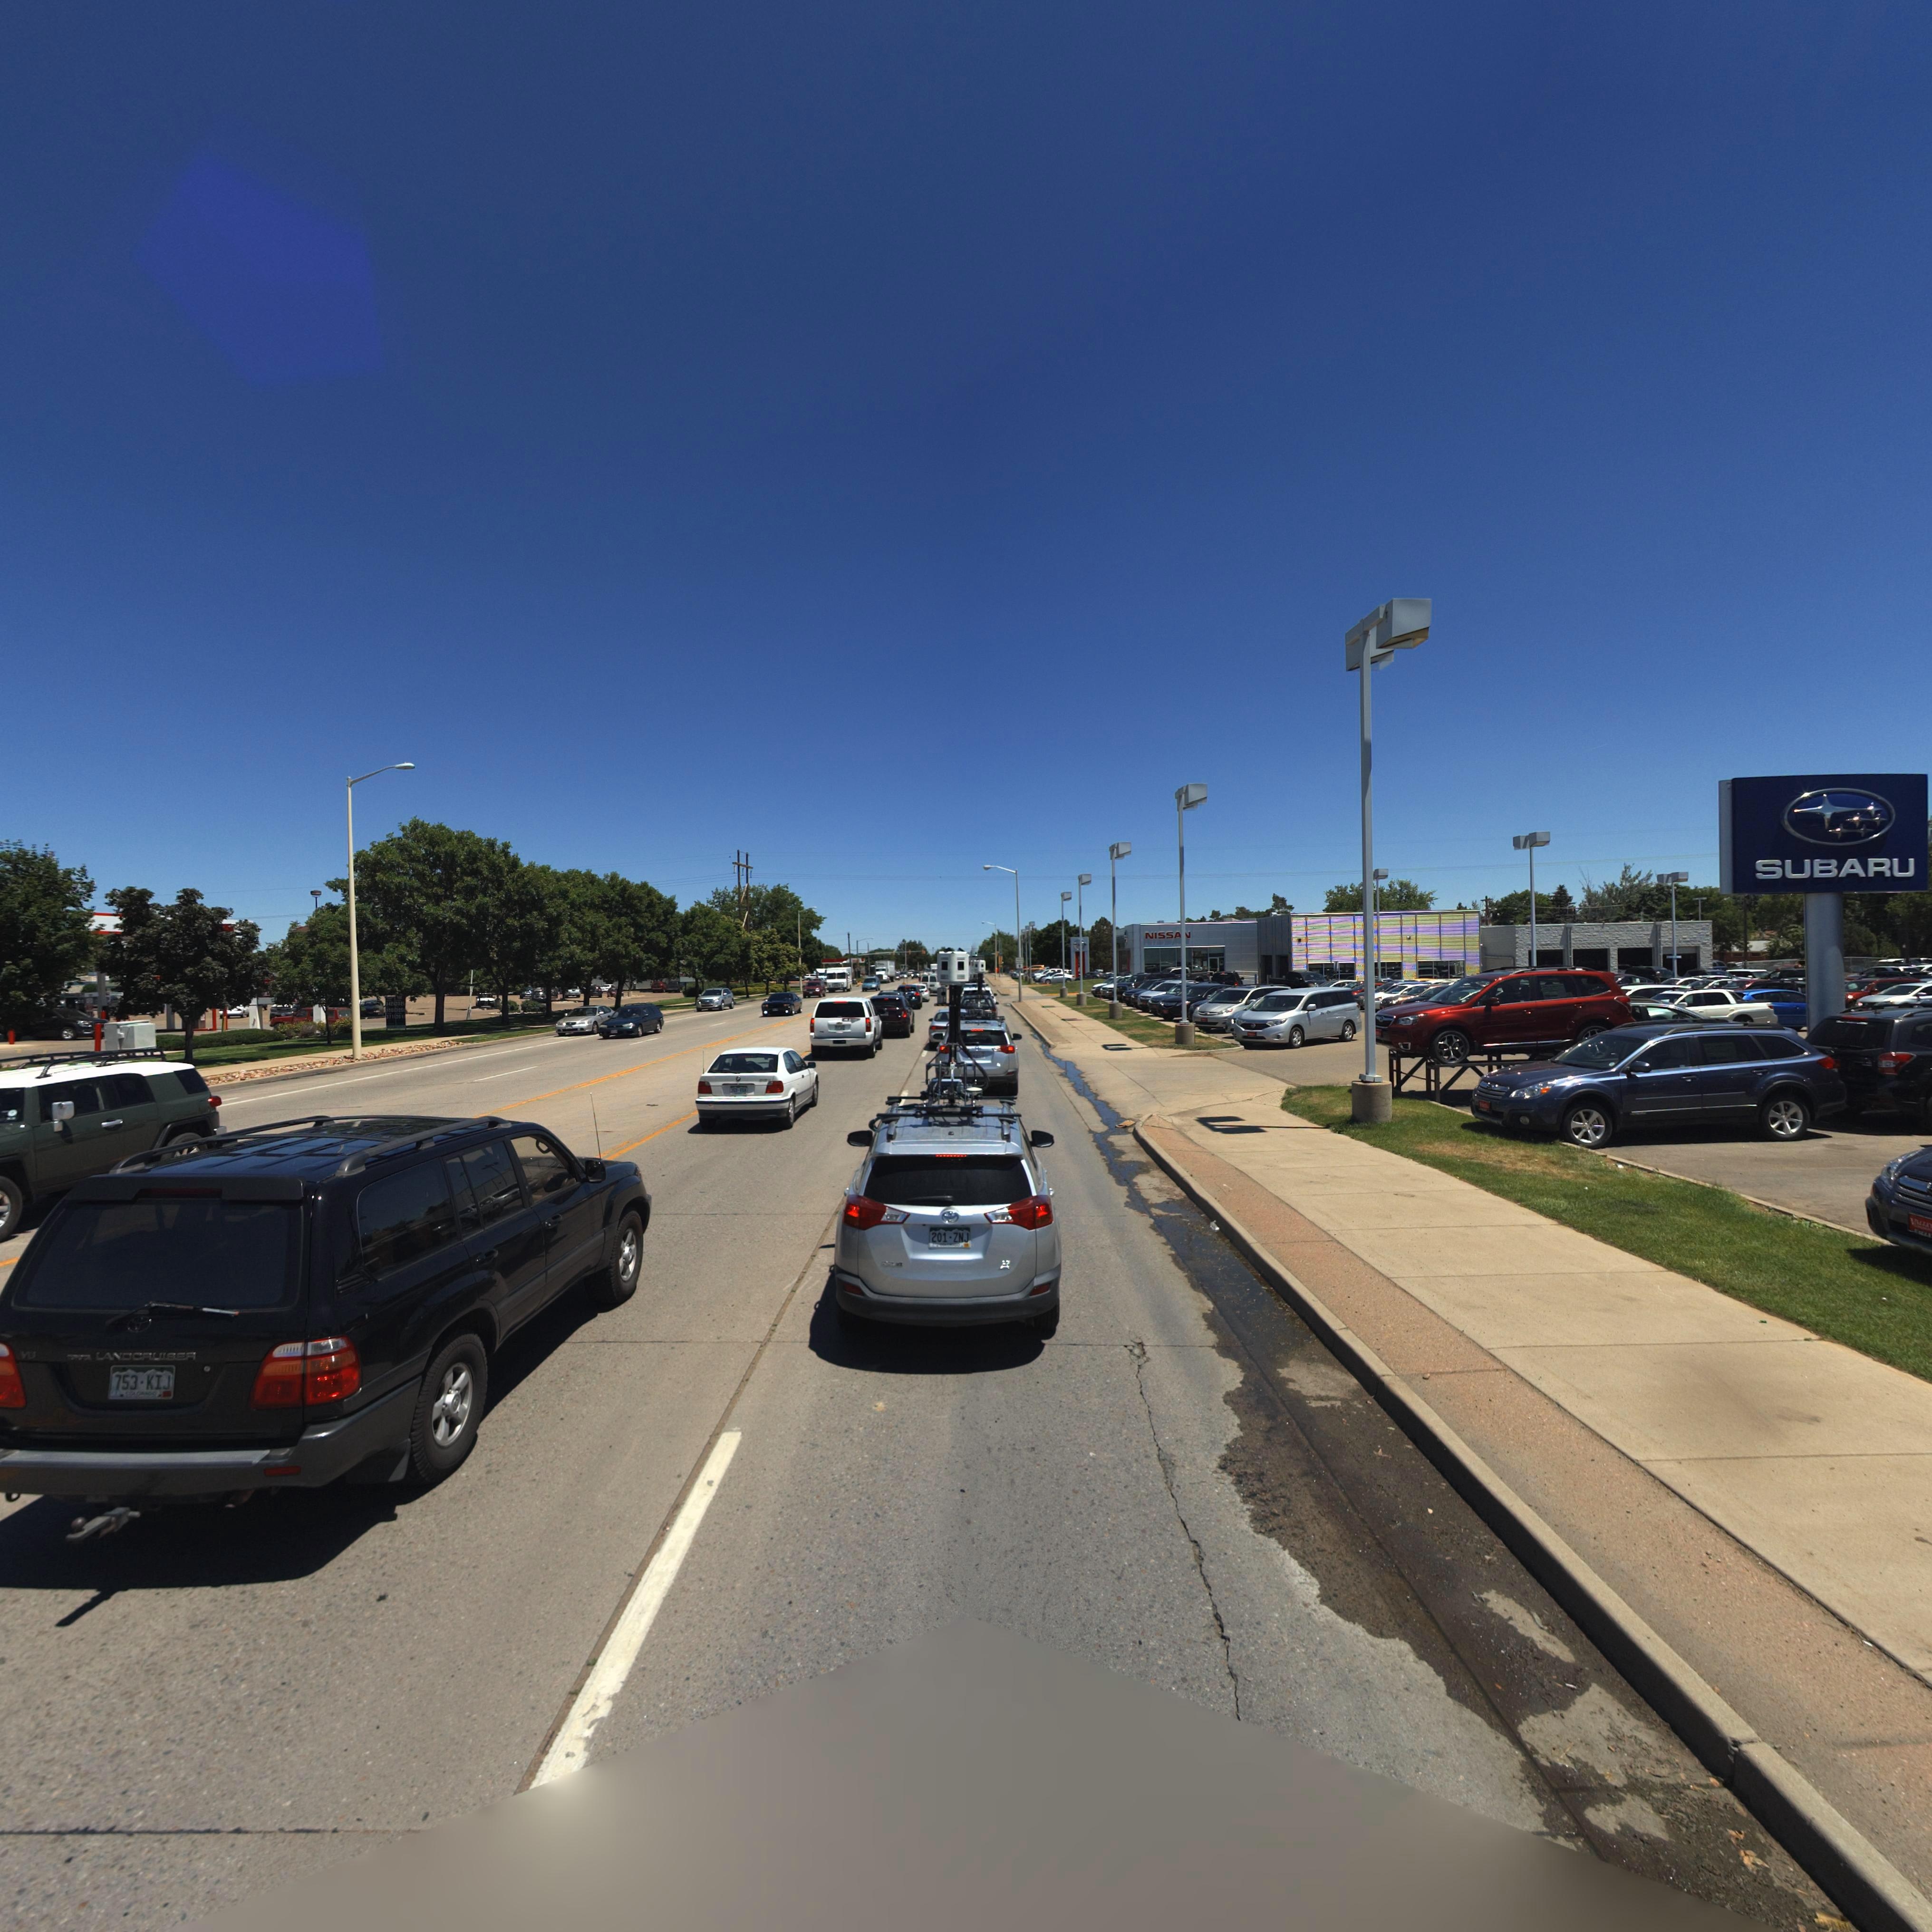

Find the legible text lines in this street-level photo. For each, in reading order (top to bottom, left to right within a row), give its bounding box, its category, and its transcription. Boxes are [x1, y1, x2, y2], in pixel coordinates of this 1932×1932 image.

[1754, 858, 1915, 879] BusinessName: SUBARU
[1145, 931, 1190, 939] BusinessName: NISSA*